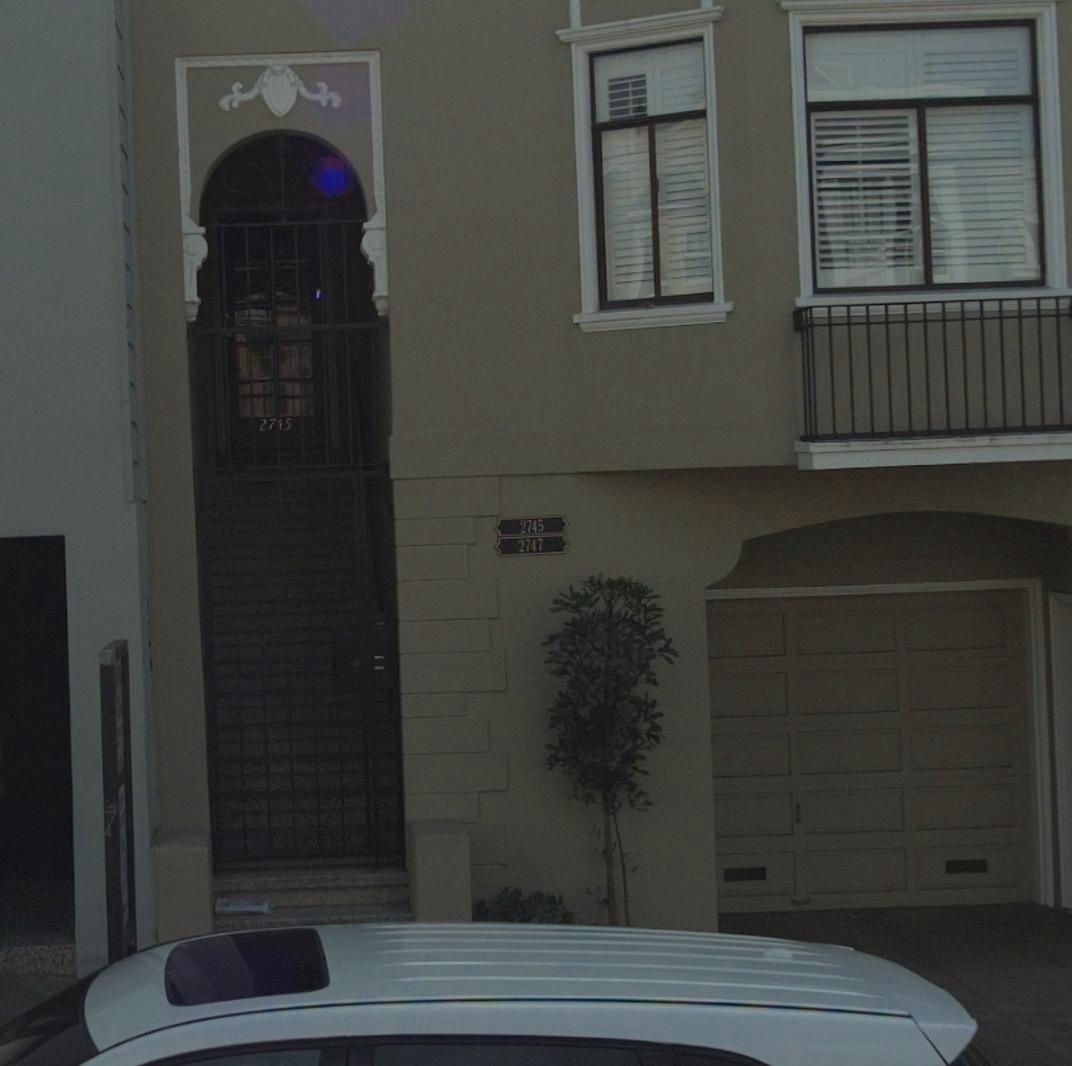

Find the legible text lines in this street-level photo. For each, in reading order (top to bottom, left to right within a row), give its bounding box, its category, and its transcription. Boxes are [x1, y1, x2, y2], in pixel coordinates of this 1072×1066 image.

[256, 415, 297, 435] StreetNumber: 27*5
[517, 517, 547, 536] StreetNumber: 2745
[515, 536, 546, 555] StreetNumber: 2747